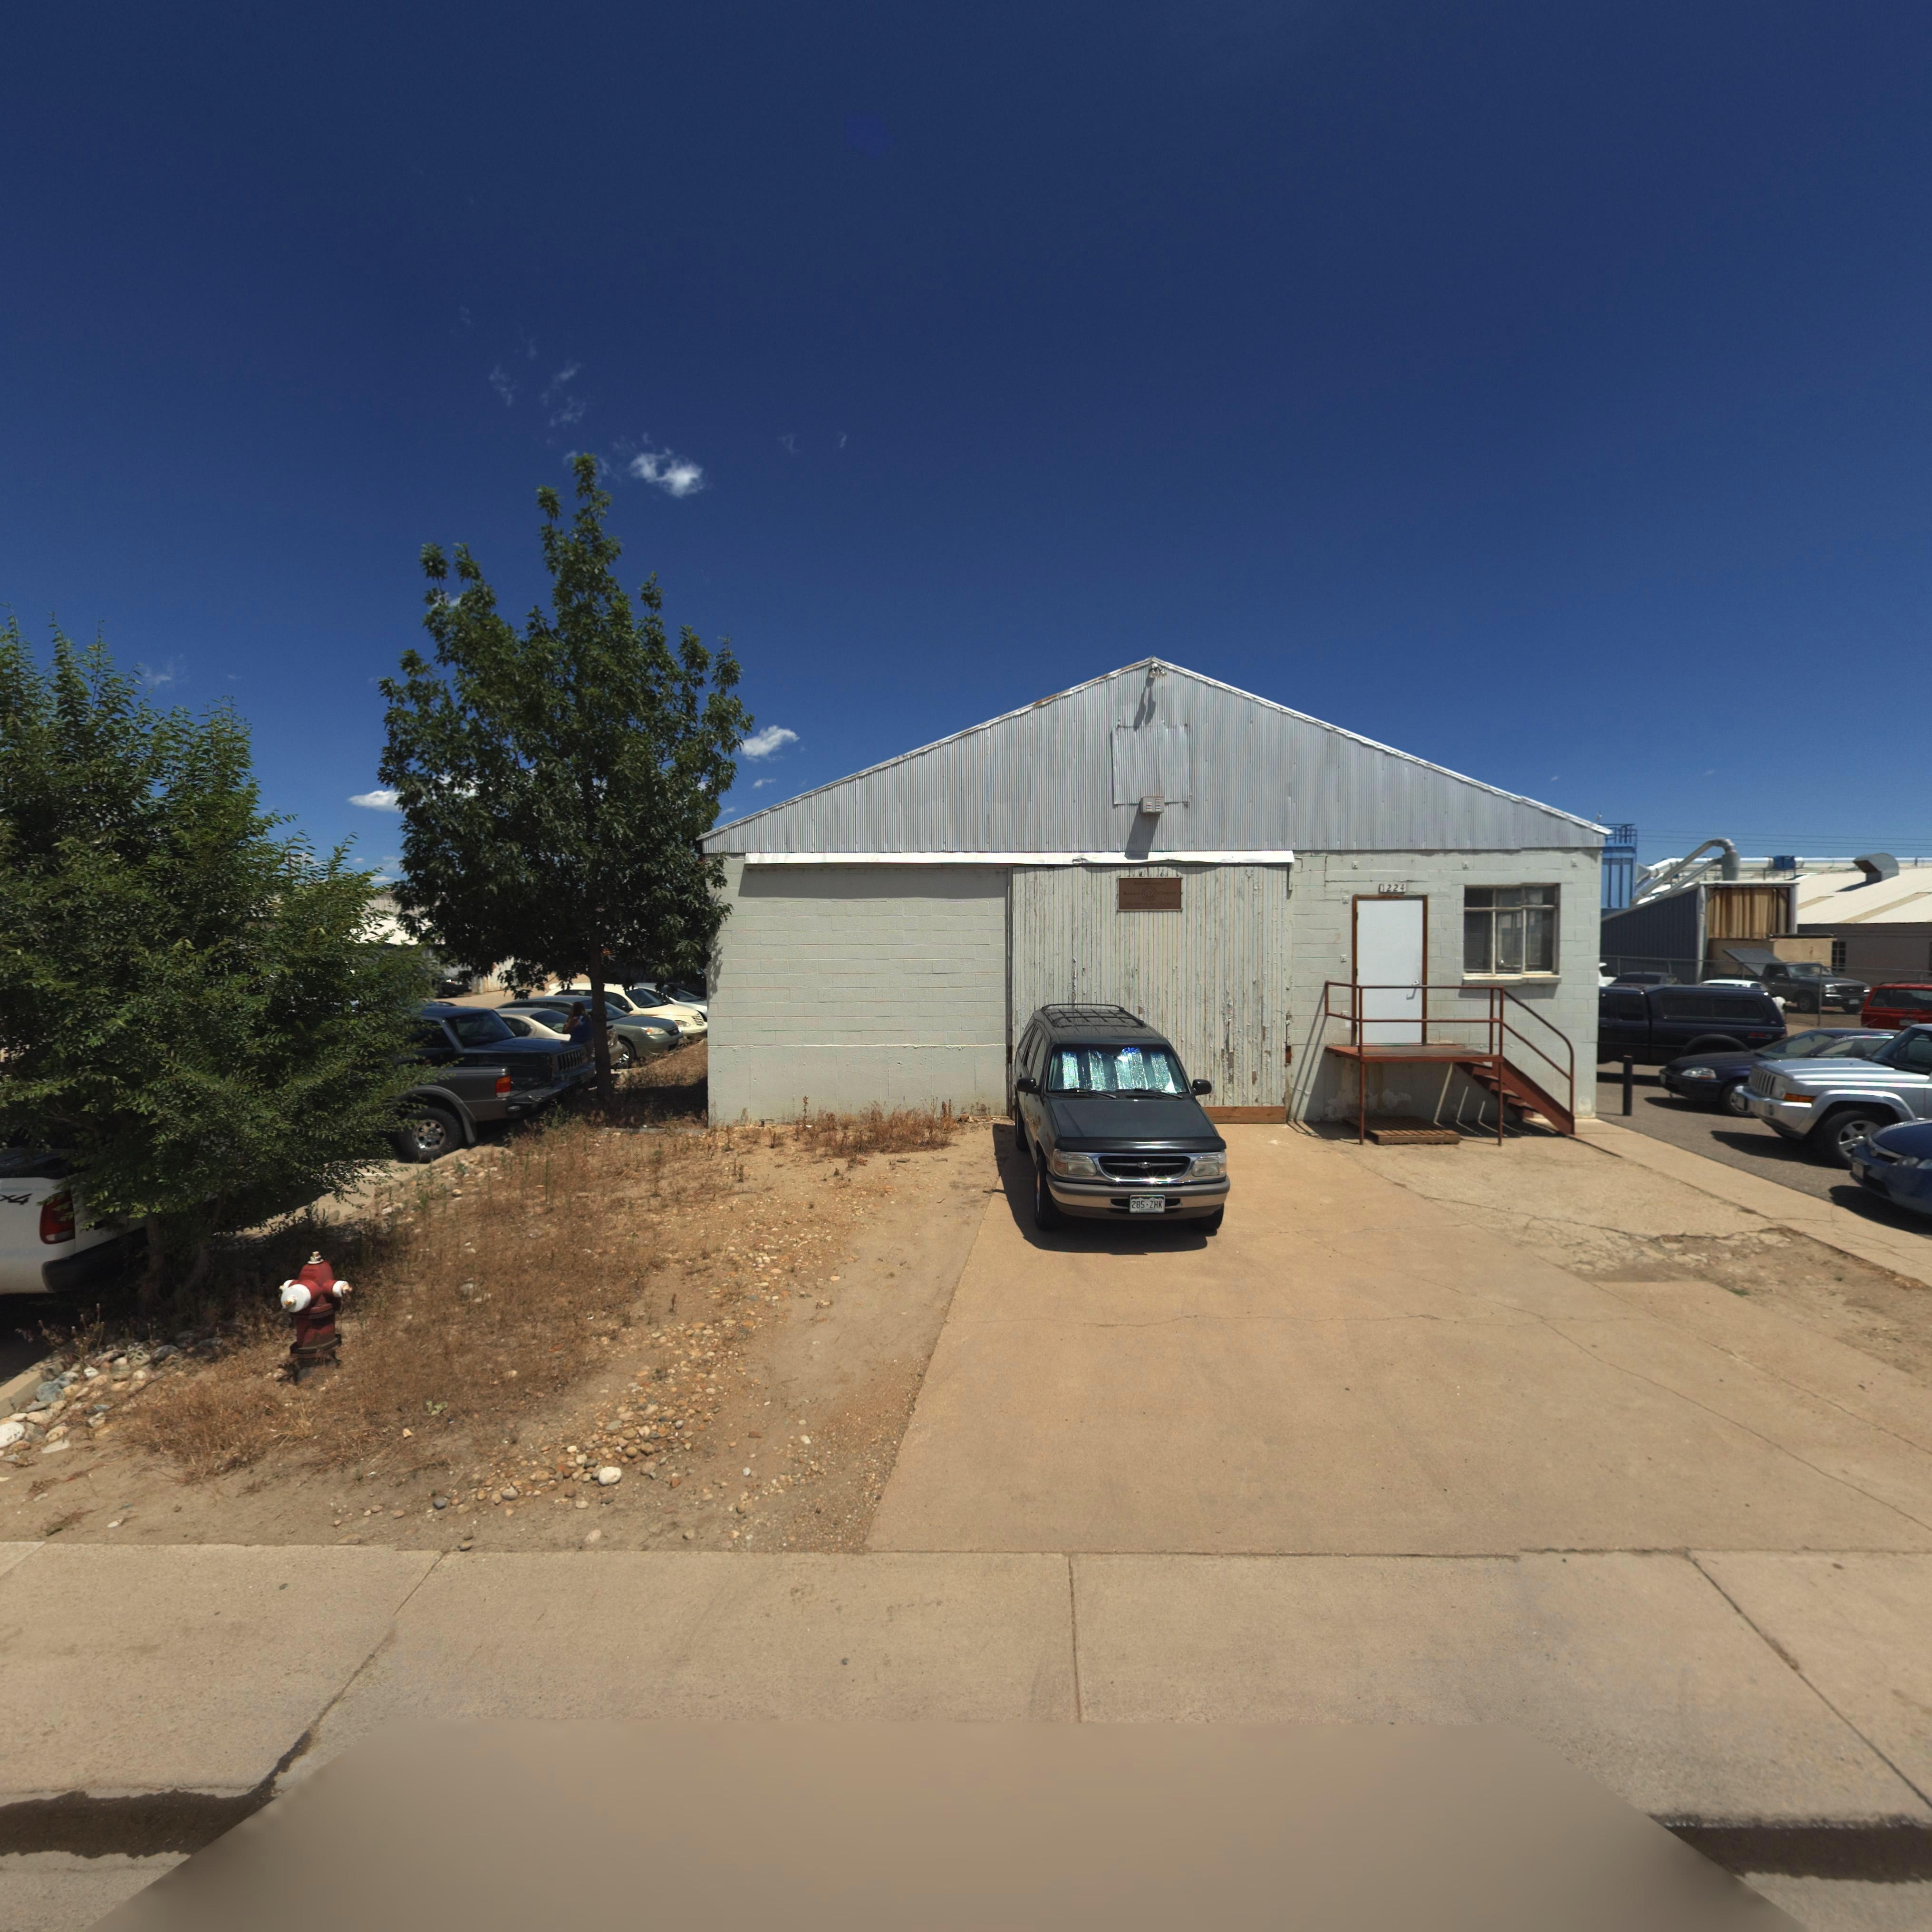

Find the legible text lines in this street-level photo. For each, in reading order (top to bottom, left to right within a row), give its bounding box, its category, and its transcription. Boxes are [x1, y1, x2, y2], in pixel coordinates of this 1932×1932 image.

[1380, 882, 1405, 892] StreetNumber: 1224